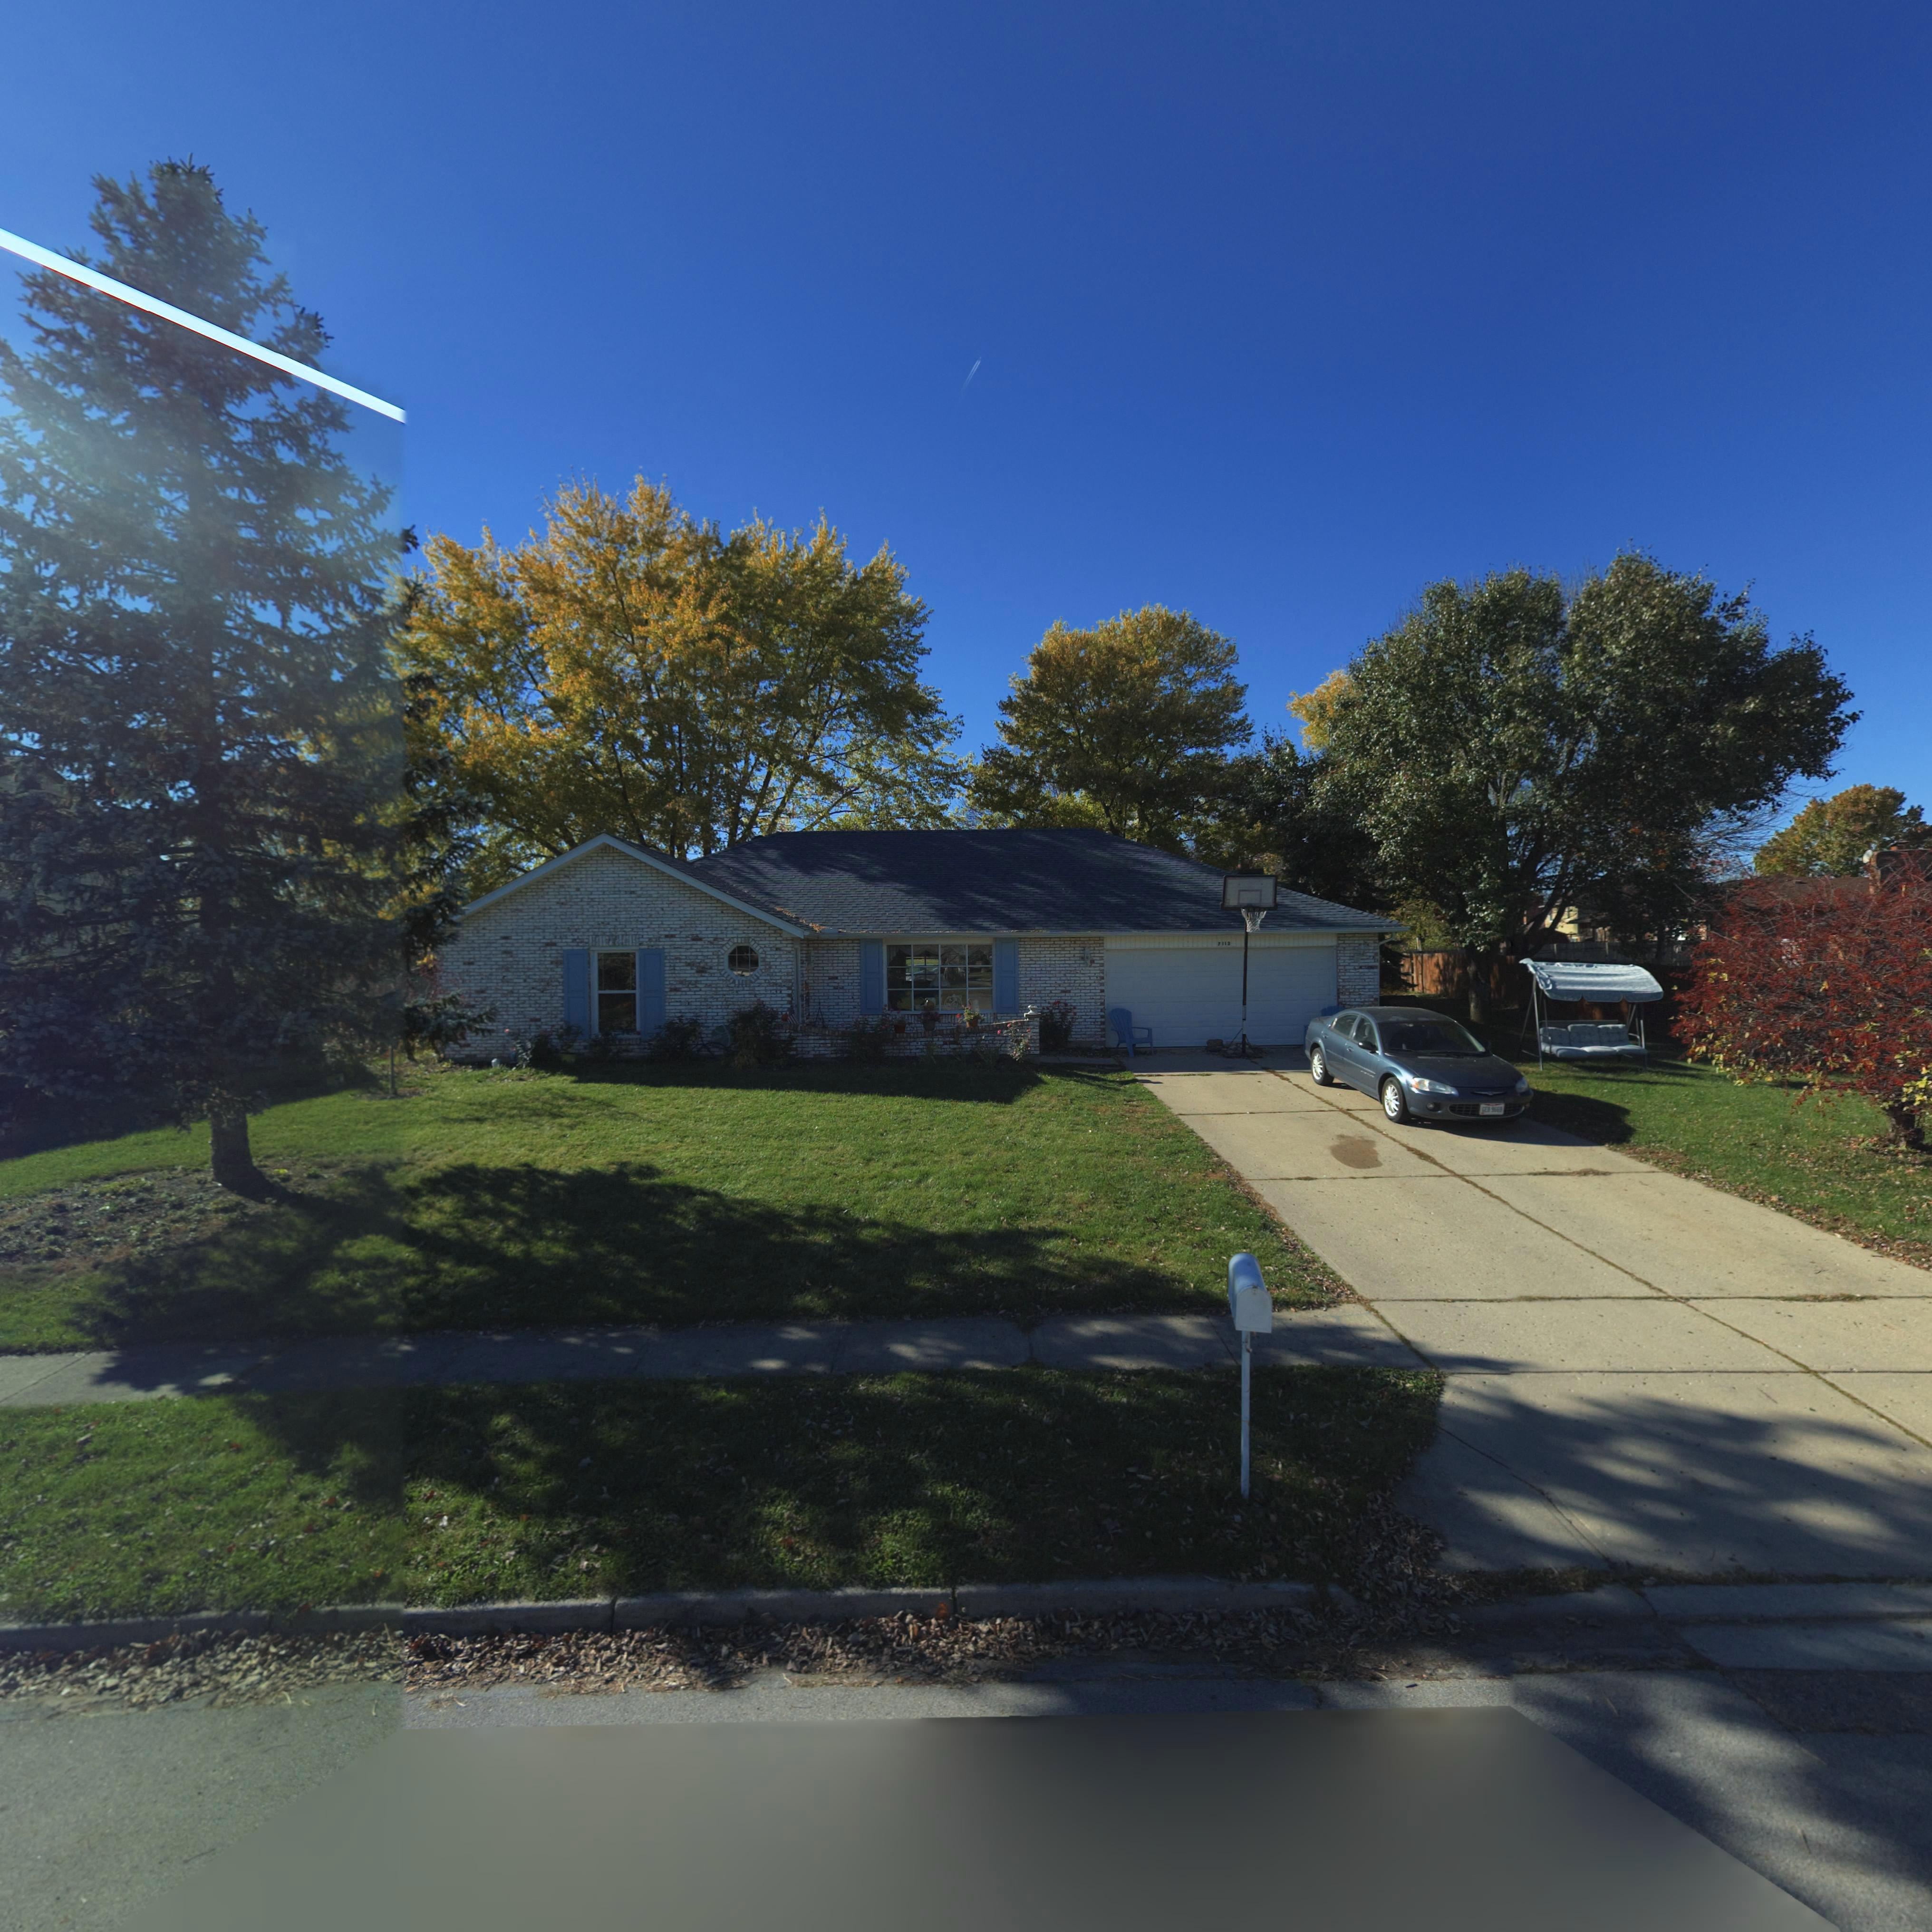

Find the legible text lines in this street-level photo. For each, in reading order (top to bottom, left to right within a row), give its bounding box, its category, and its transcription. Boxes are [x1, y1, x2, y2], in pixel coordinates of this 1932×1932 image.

[1217, 940, 1231, 947] StreetNumber: 7113
[1481, 1106, 1503, 1113] None: GEB*9669